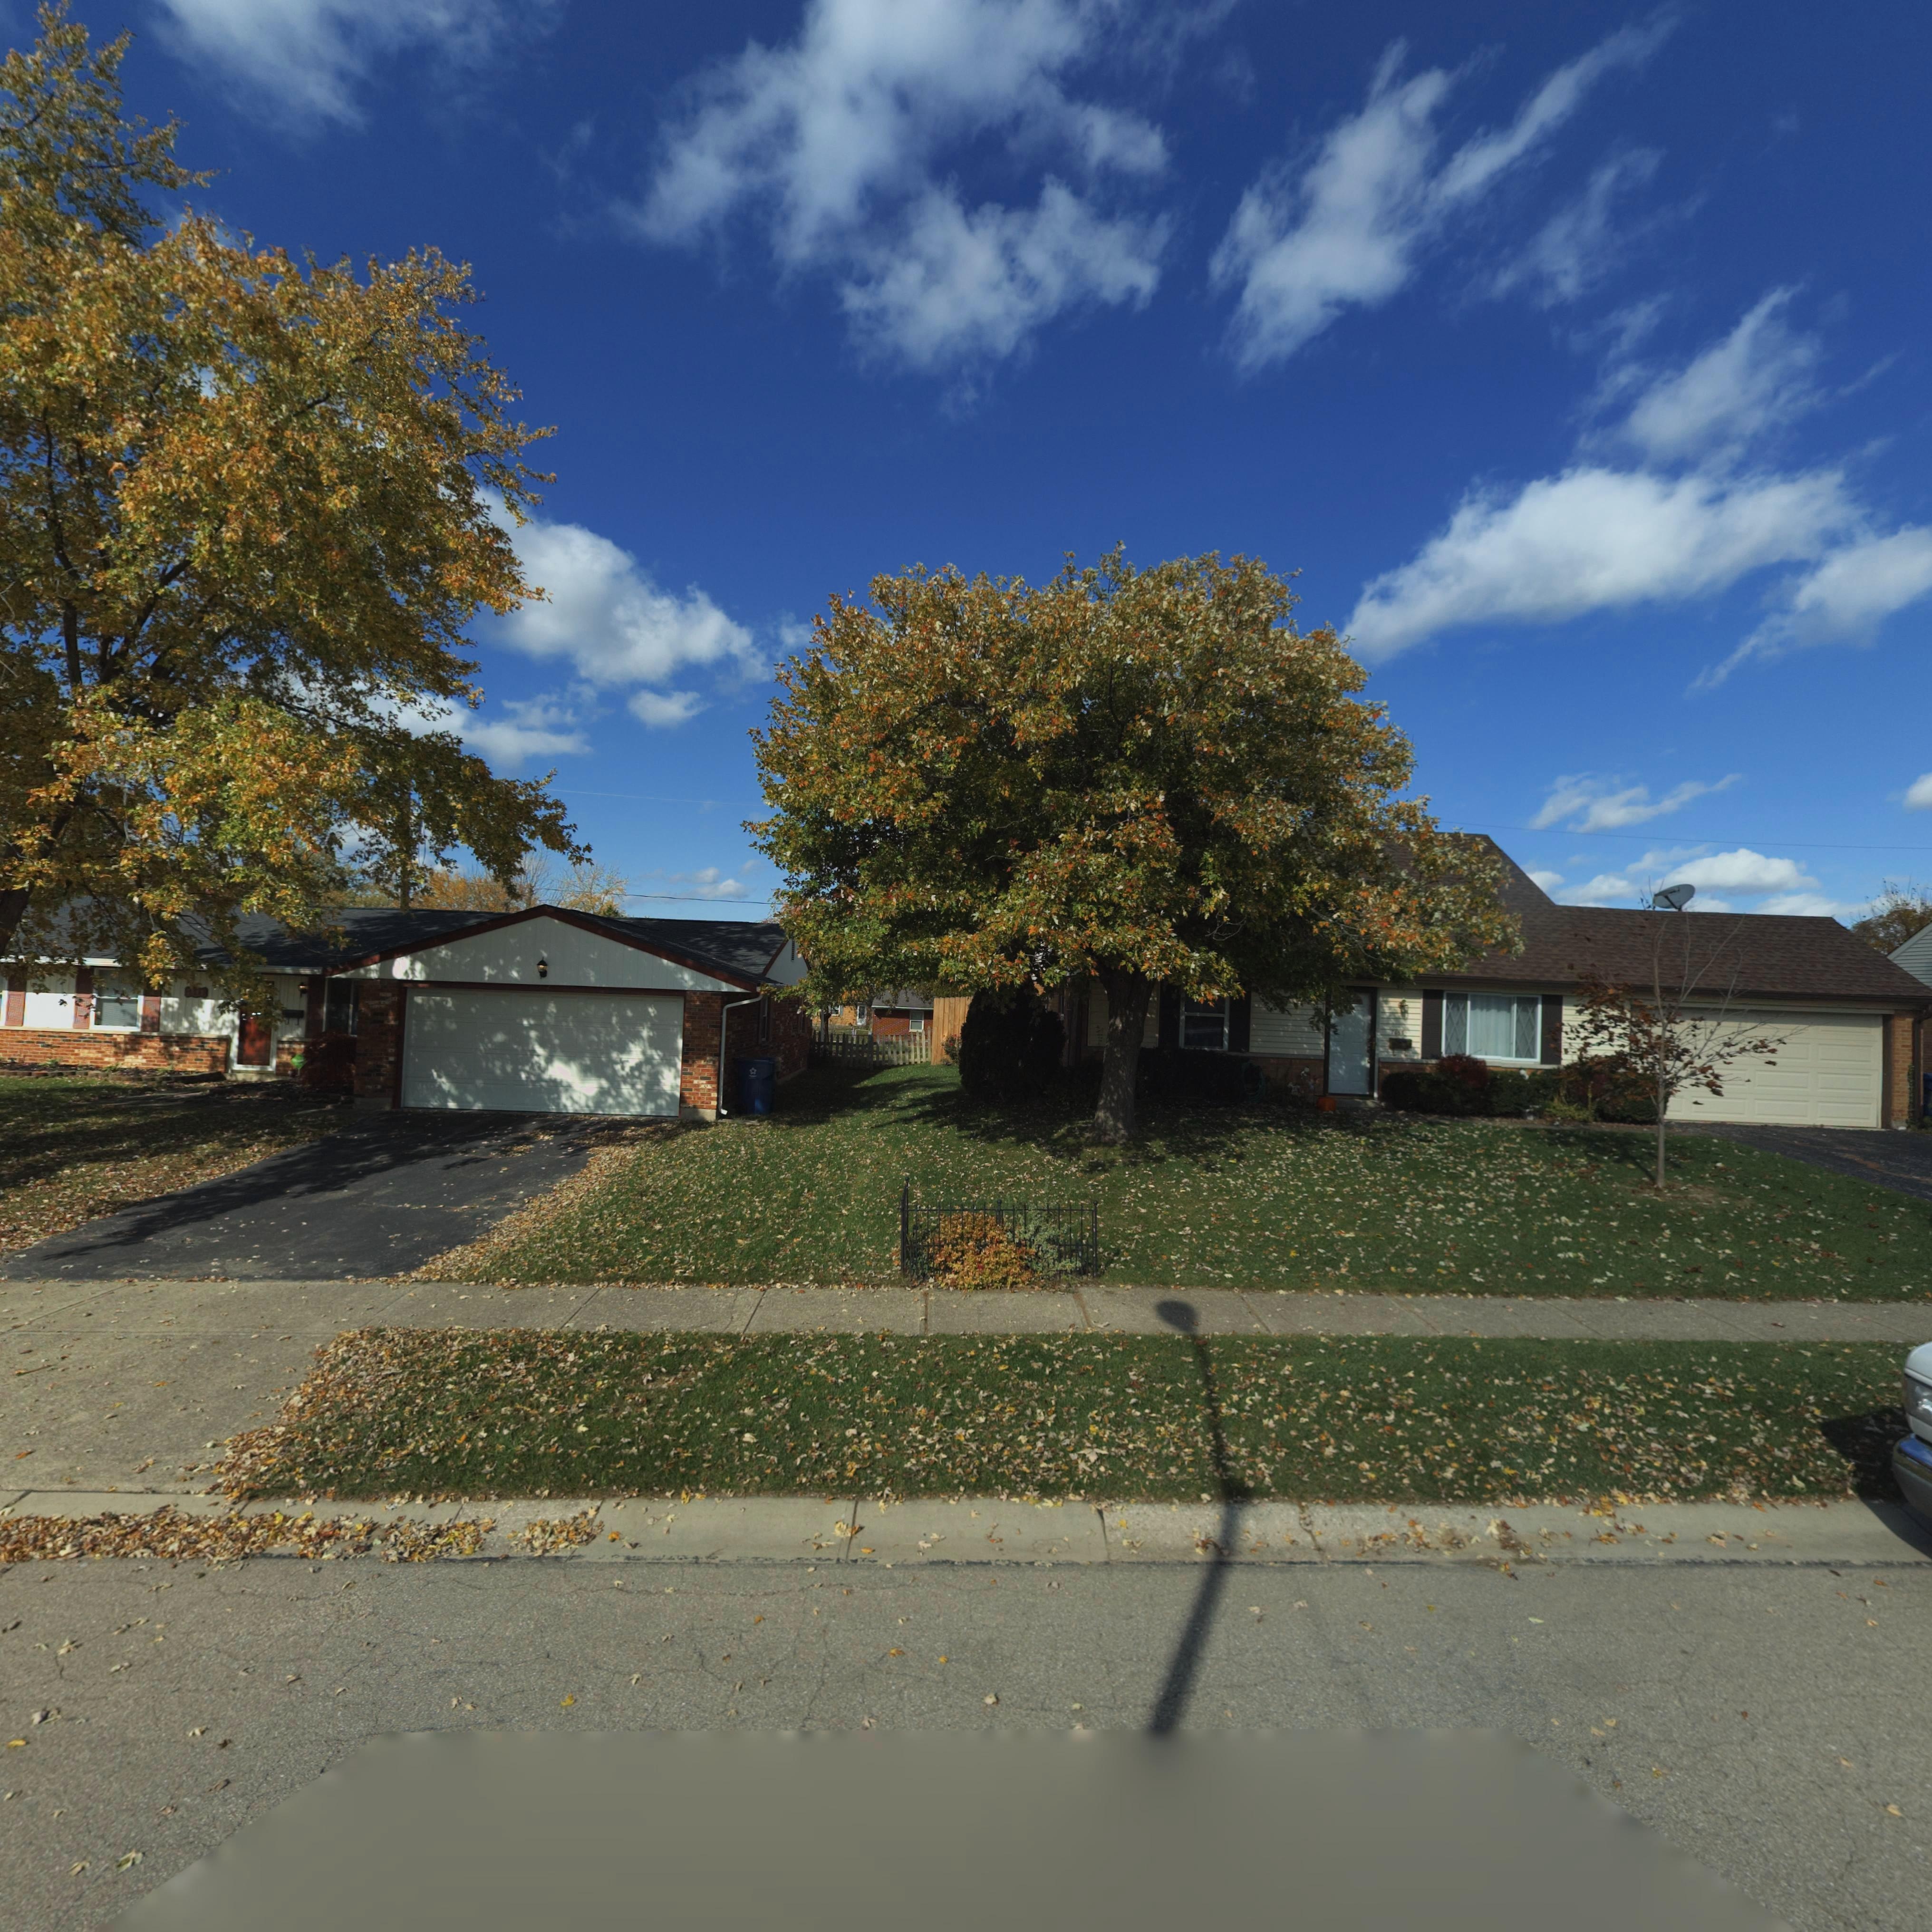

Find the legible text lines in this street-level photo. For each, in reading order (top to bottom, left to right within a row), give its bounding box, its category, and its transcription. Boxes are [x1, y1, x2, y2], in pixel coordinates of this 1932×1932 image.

[185, 988, 205, 996] StreetNumber: 76**
[1390, 1029, 1405, 1036] StreetNumber: 7653